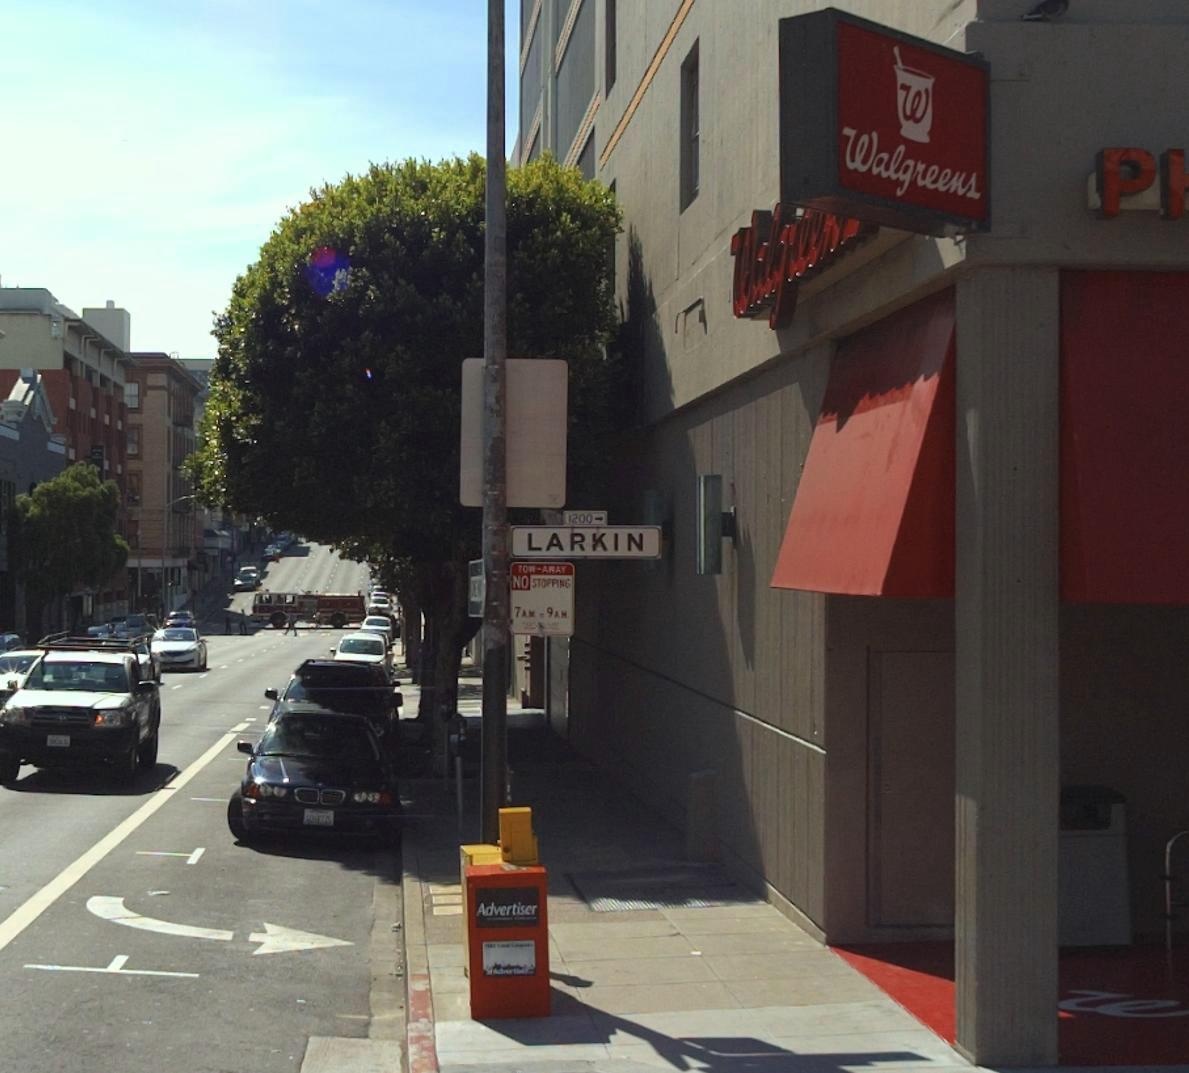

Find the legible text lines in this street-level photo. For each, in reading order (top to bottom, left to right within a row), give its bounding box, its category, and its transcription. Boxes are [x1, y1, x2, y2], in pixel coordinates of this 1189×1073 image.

[896, 79, 934, 128] None: W
[841, 120, 986, 203] BusinessName: Walgreens
[1100, 145, 1159, 218] None: P
[566, 511, 605, 526] StreetNumberRange: 1200->
[525, 529, 646, 554] StreetName: LARKIN
[515, 562, 569, 576] None: TOW-AWAY
[510, 573, 573, 591] None: NO STOPPING
[512, 603, 572, 622] None: 7 A* * 9 A*
[473, 899, 540, 919] None: Advertiser